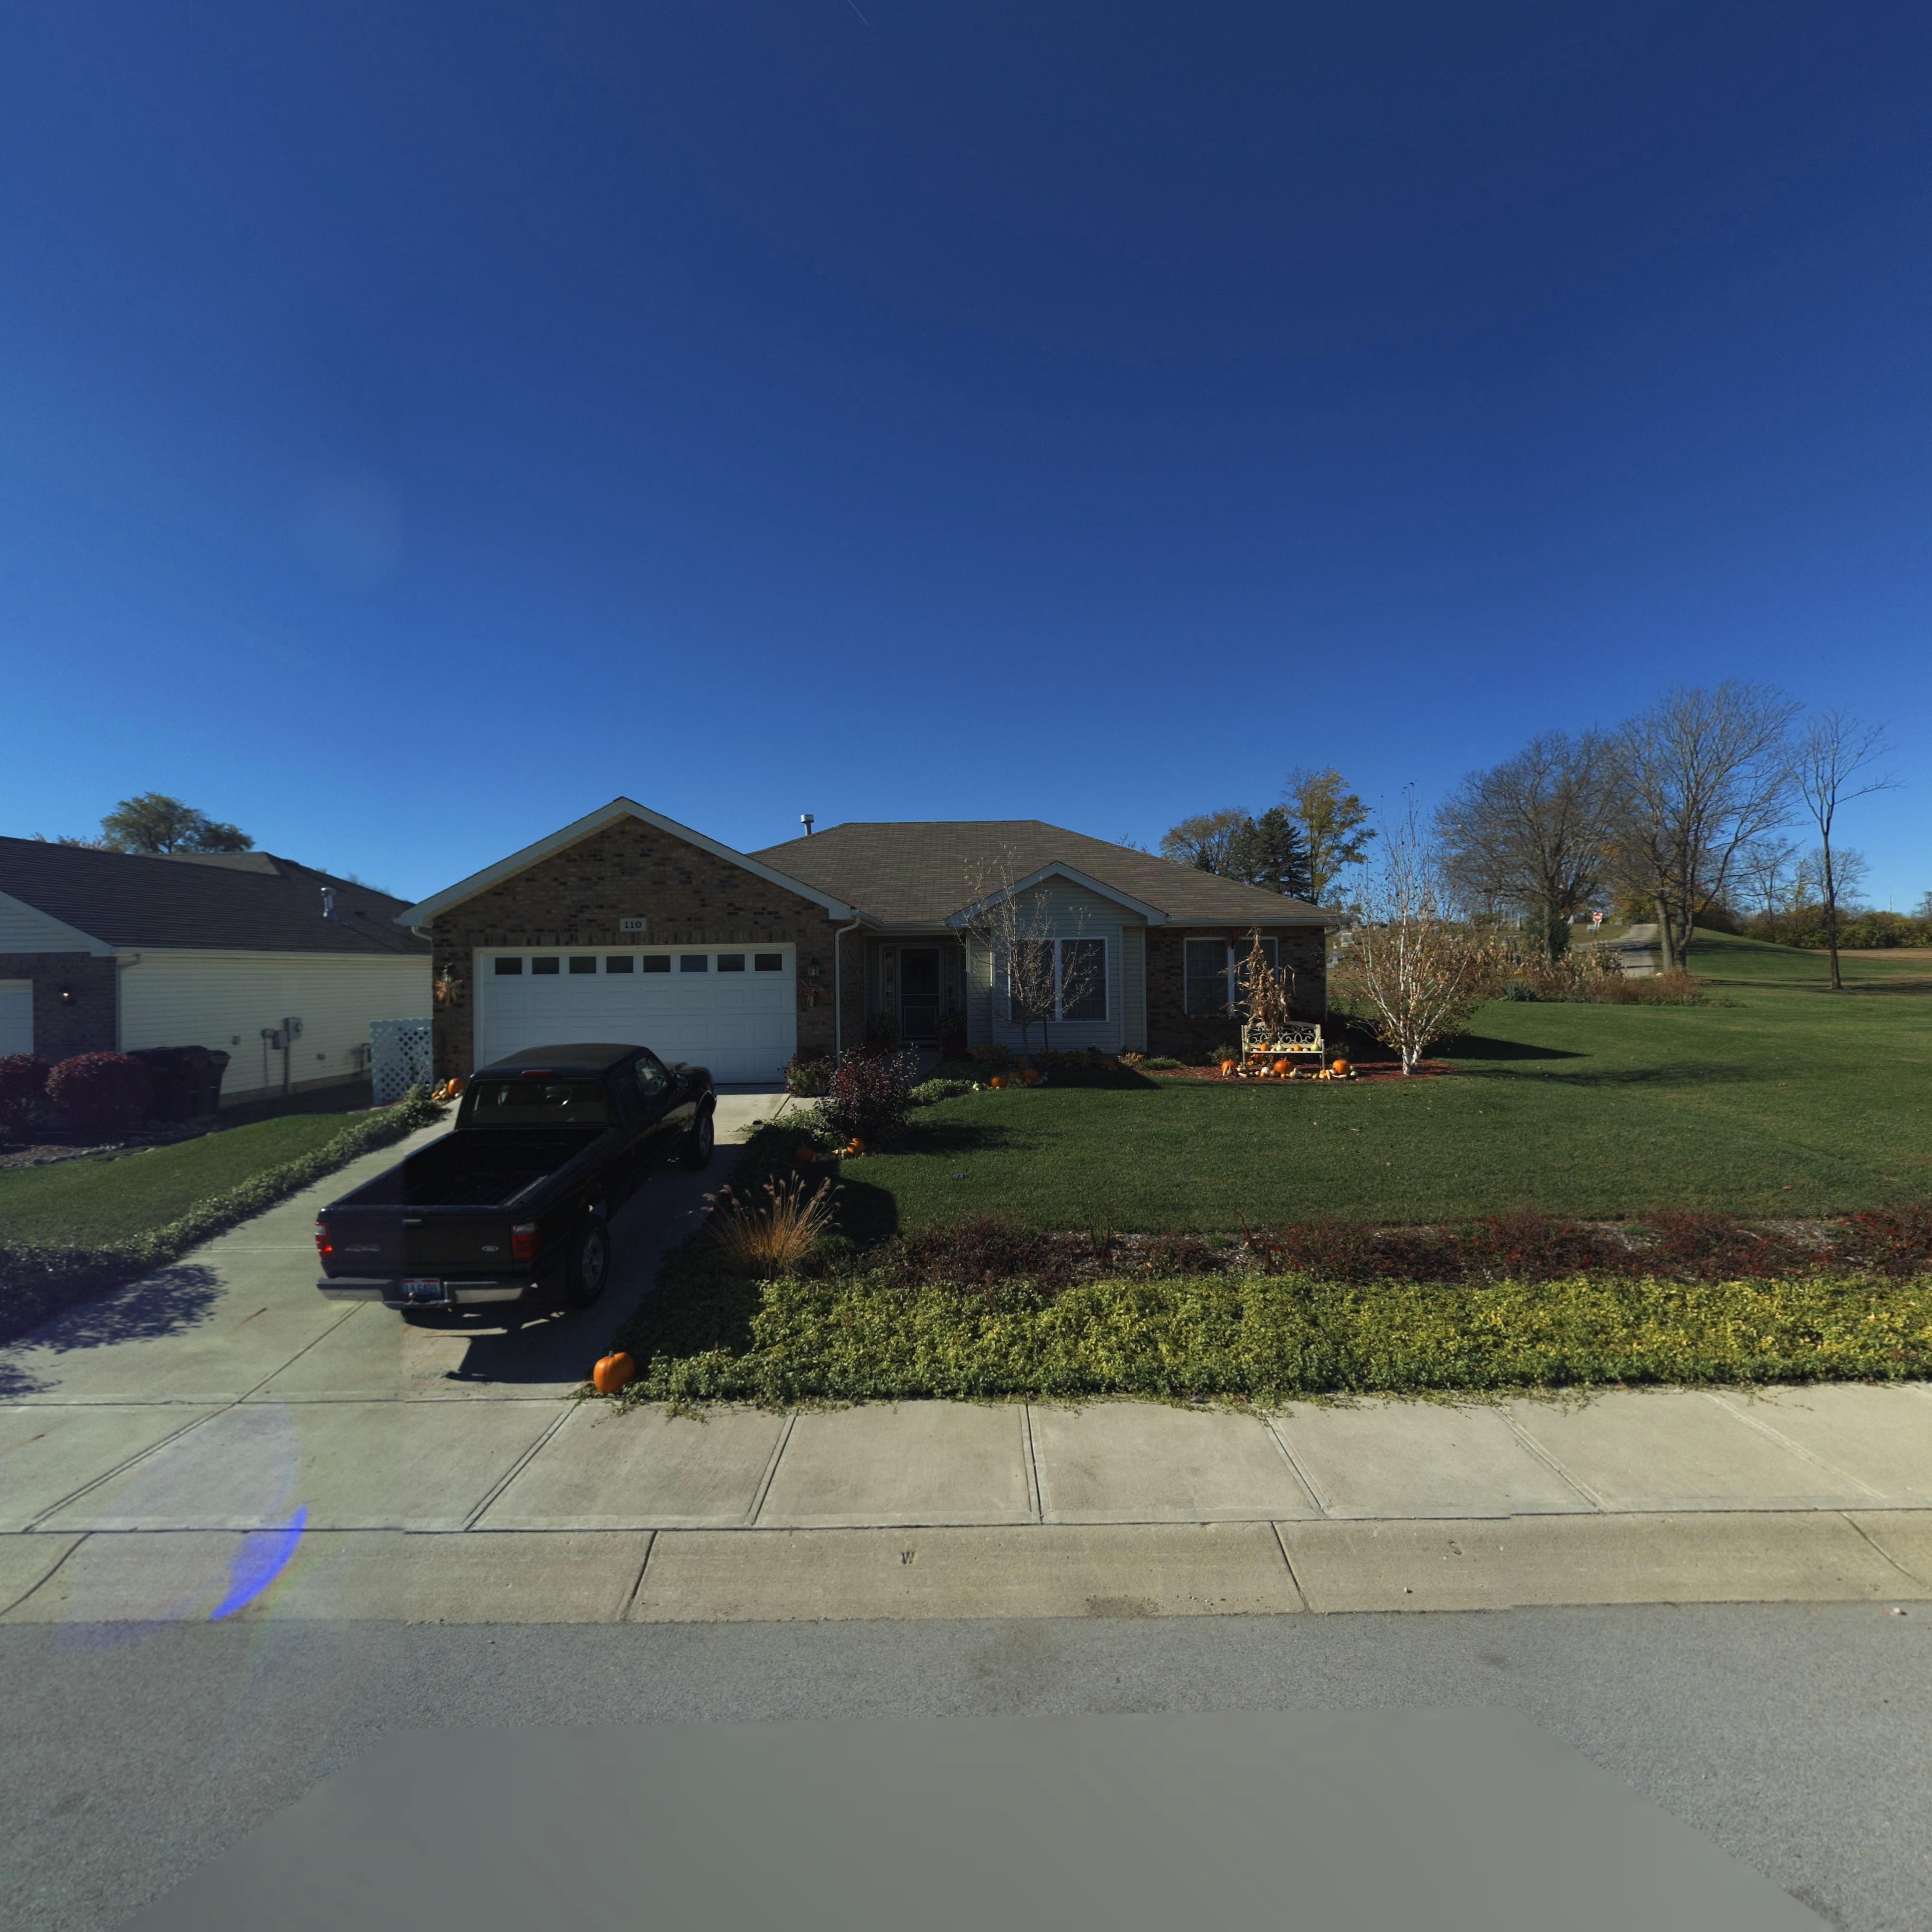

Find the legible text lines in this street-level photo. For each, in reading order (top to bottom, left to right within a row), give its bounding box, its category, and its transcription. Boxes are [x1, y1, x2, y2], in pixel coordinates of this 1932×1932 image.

[624, 920, 642, 929] StreetNumber: 110